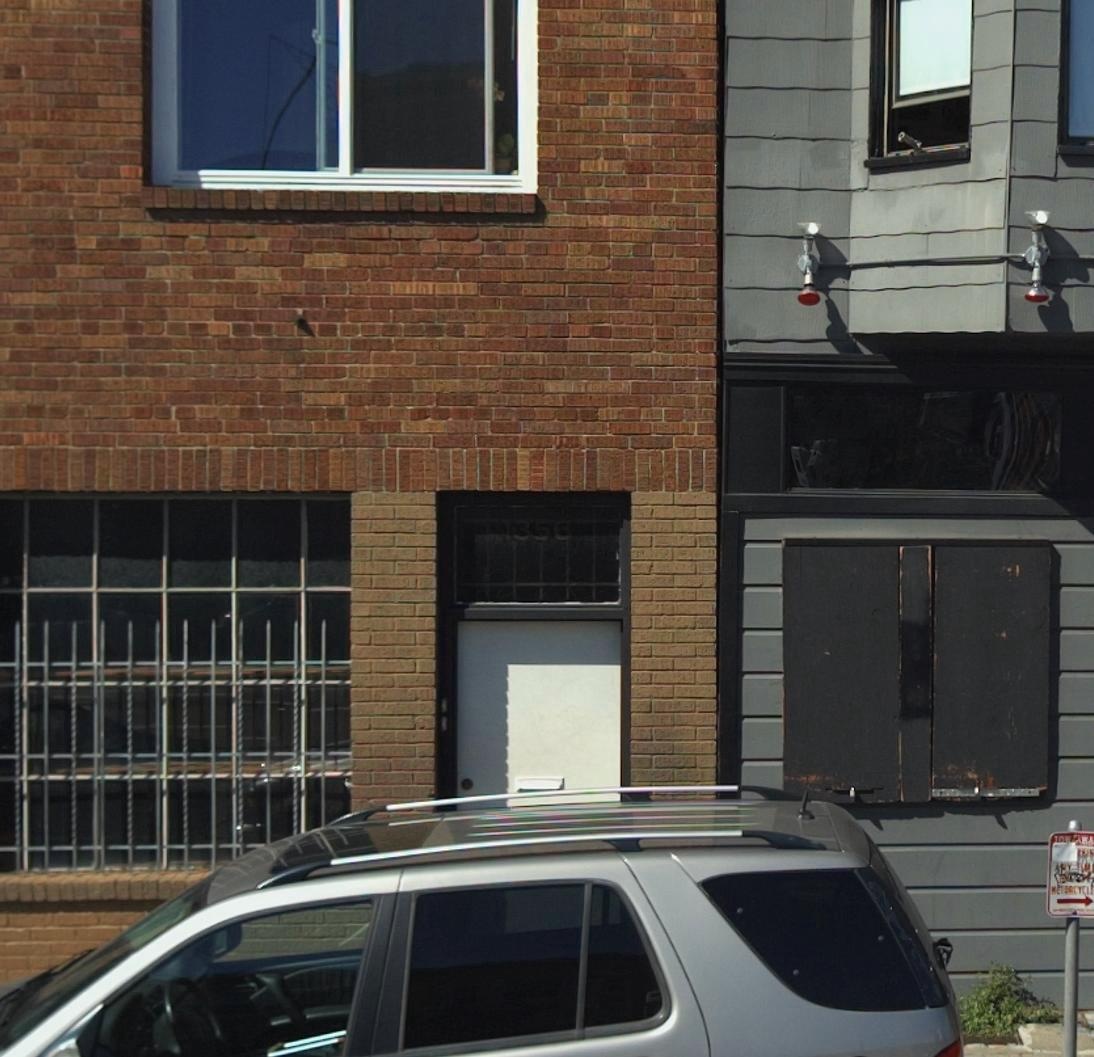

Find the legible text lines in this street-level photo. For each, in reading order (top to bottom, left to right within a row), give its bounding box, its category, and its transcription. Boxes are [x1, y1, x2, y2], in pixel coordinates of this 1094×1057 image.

[509, 515, 575, 545] StreetNumber: 1356